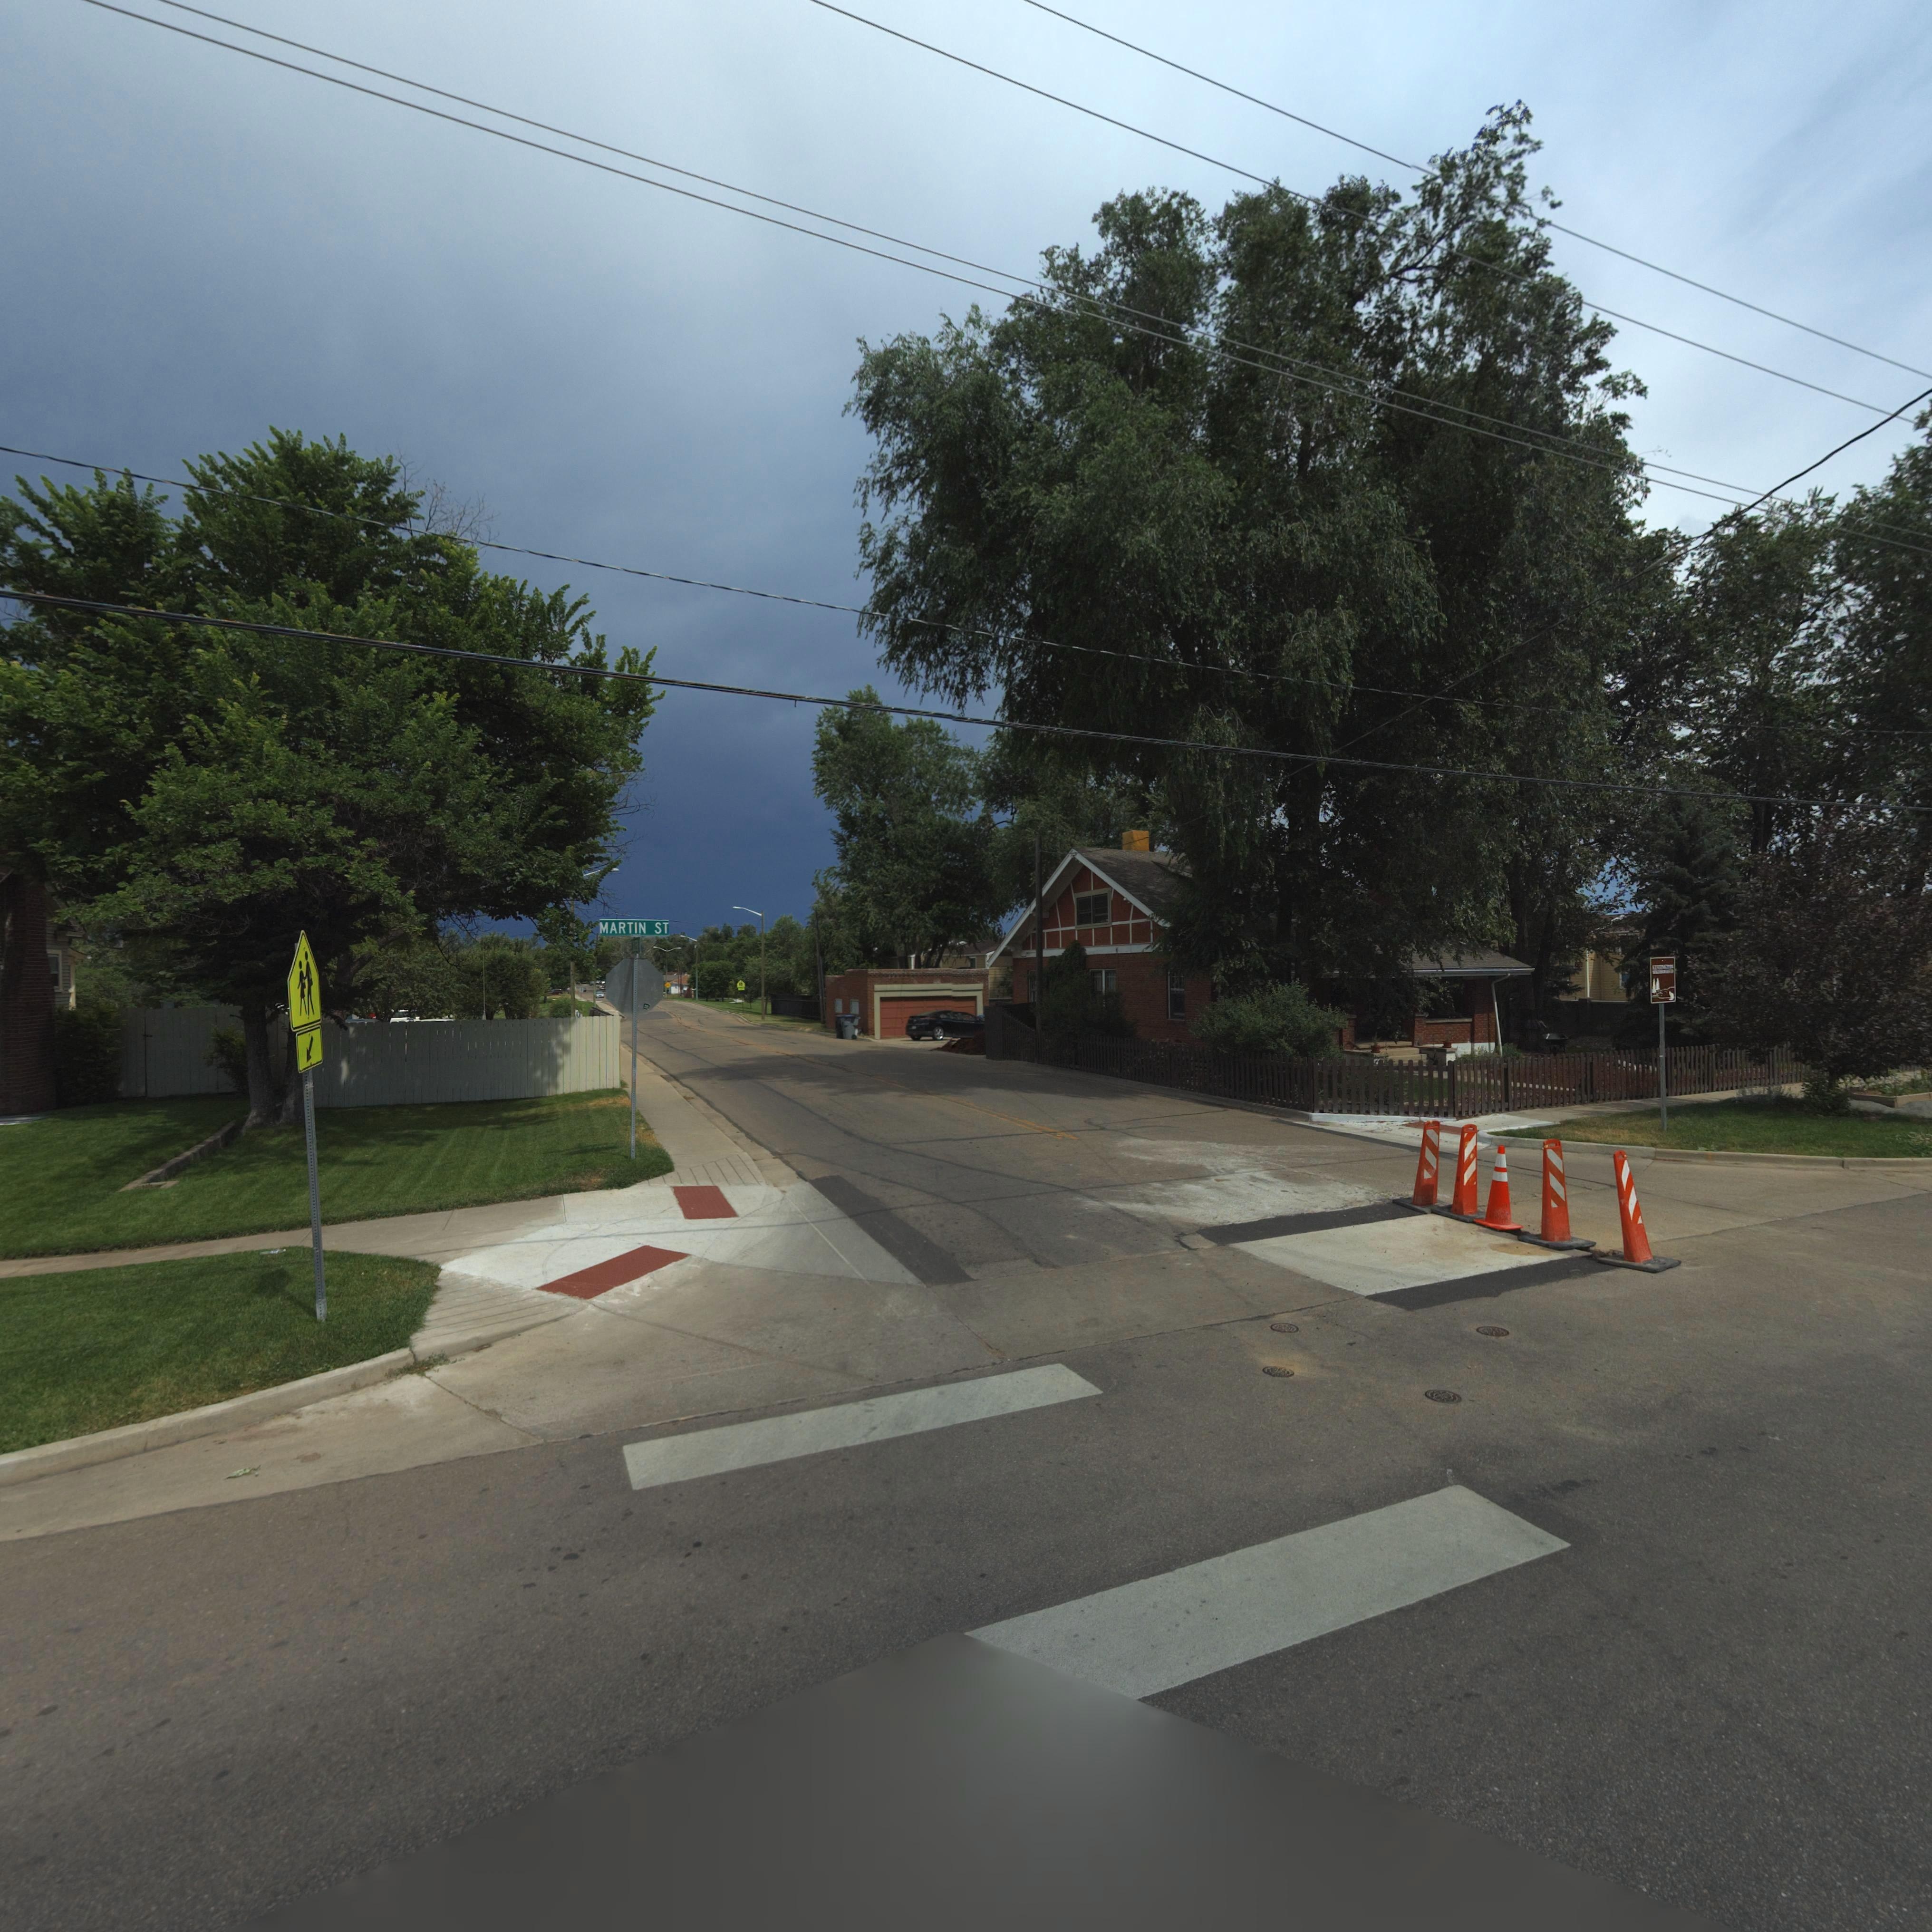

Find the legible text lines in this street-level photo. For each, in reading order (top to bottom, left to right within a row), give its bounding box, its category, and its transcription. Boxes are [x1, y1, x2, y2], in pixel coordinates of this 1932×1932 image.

[599, 921, 670, 935] StreetName: MARTIN ST